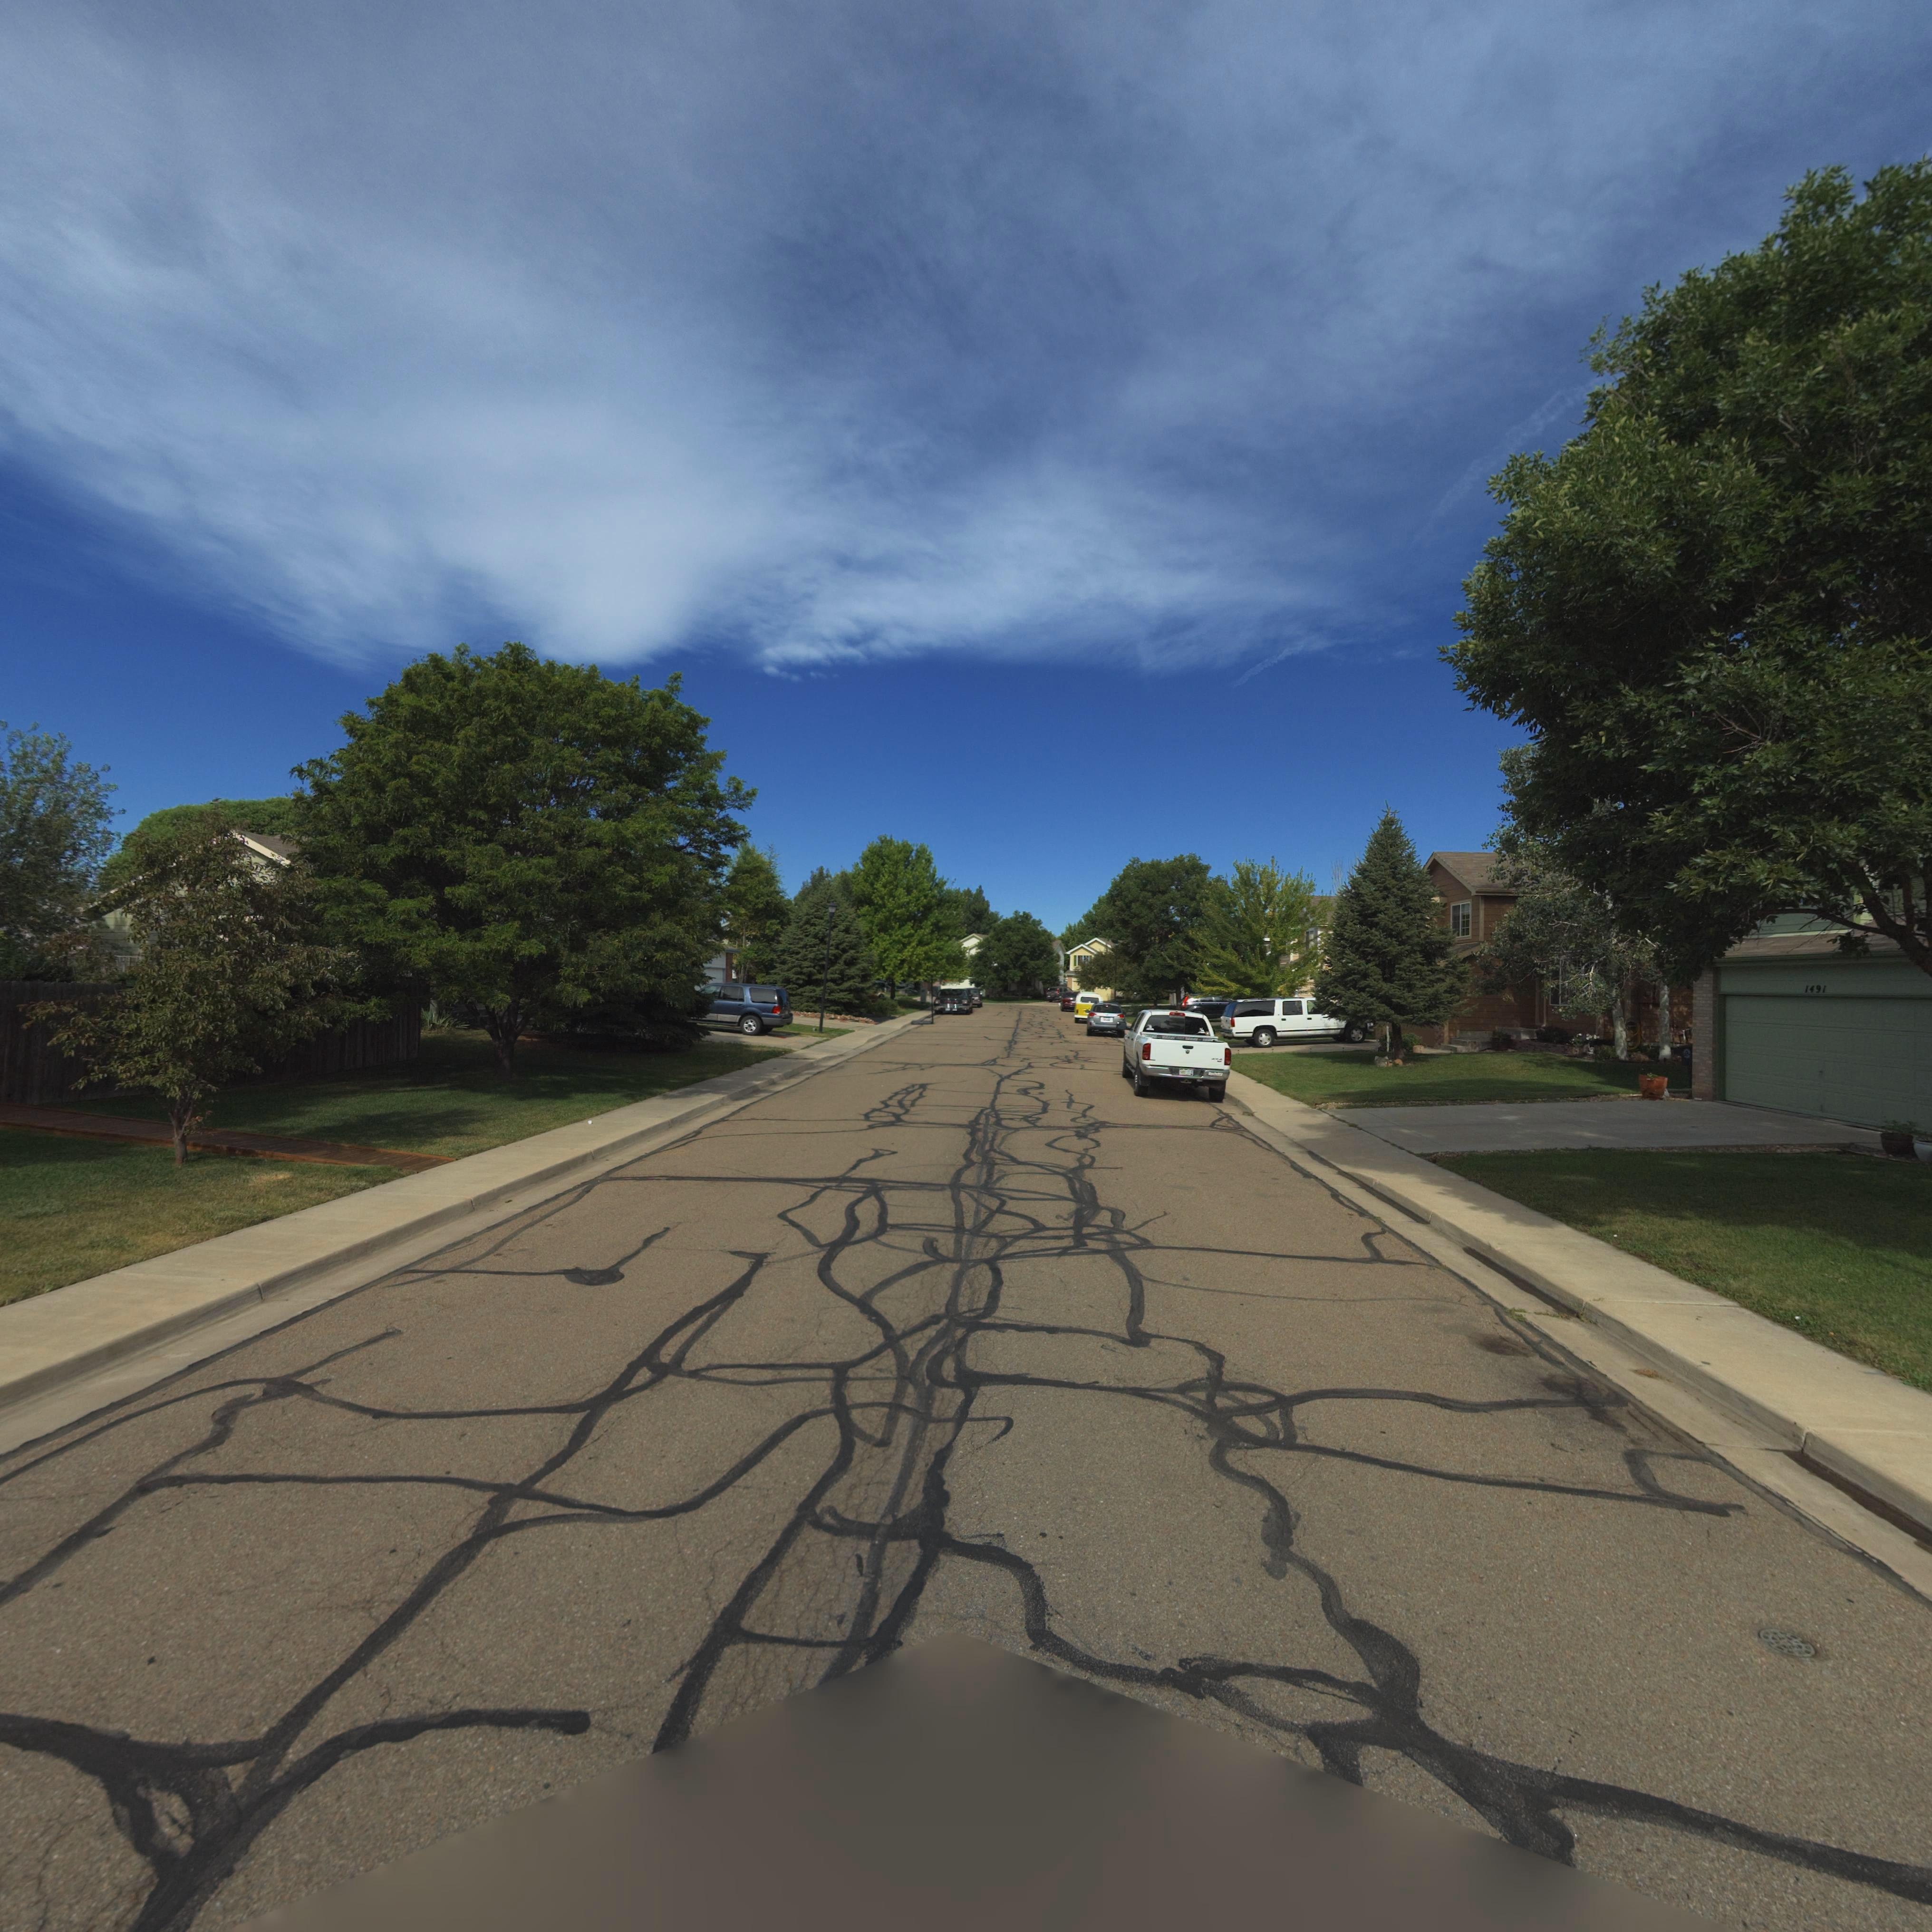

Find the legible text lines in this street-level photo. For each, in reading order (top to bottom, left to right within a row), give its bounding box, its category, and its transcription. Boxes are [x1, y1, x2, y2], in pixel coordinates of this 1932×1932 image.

[1805, 984, 1826, 994] StreetNumber: 1491